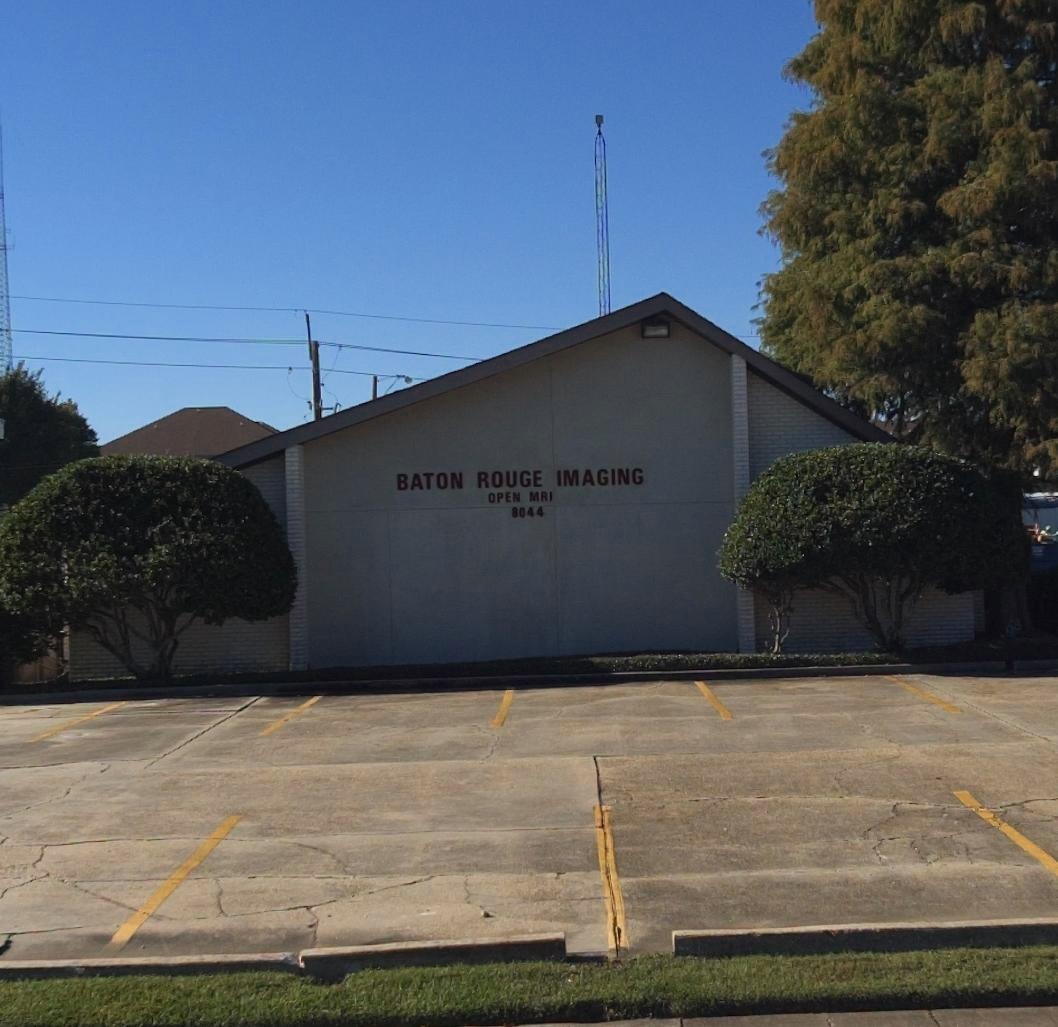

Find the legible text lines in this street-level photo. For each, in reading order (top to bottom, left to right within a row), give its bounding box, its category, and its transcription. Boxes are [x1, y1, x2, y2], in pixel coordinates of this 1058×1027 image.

[396, 467, 645, 492] BusinessName: BATON ROUGE IMAGING
[487, 489, 554, 505] None: OPEN MRI
[511, 505, 546, 519] StreetNumber: 8044